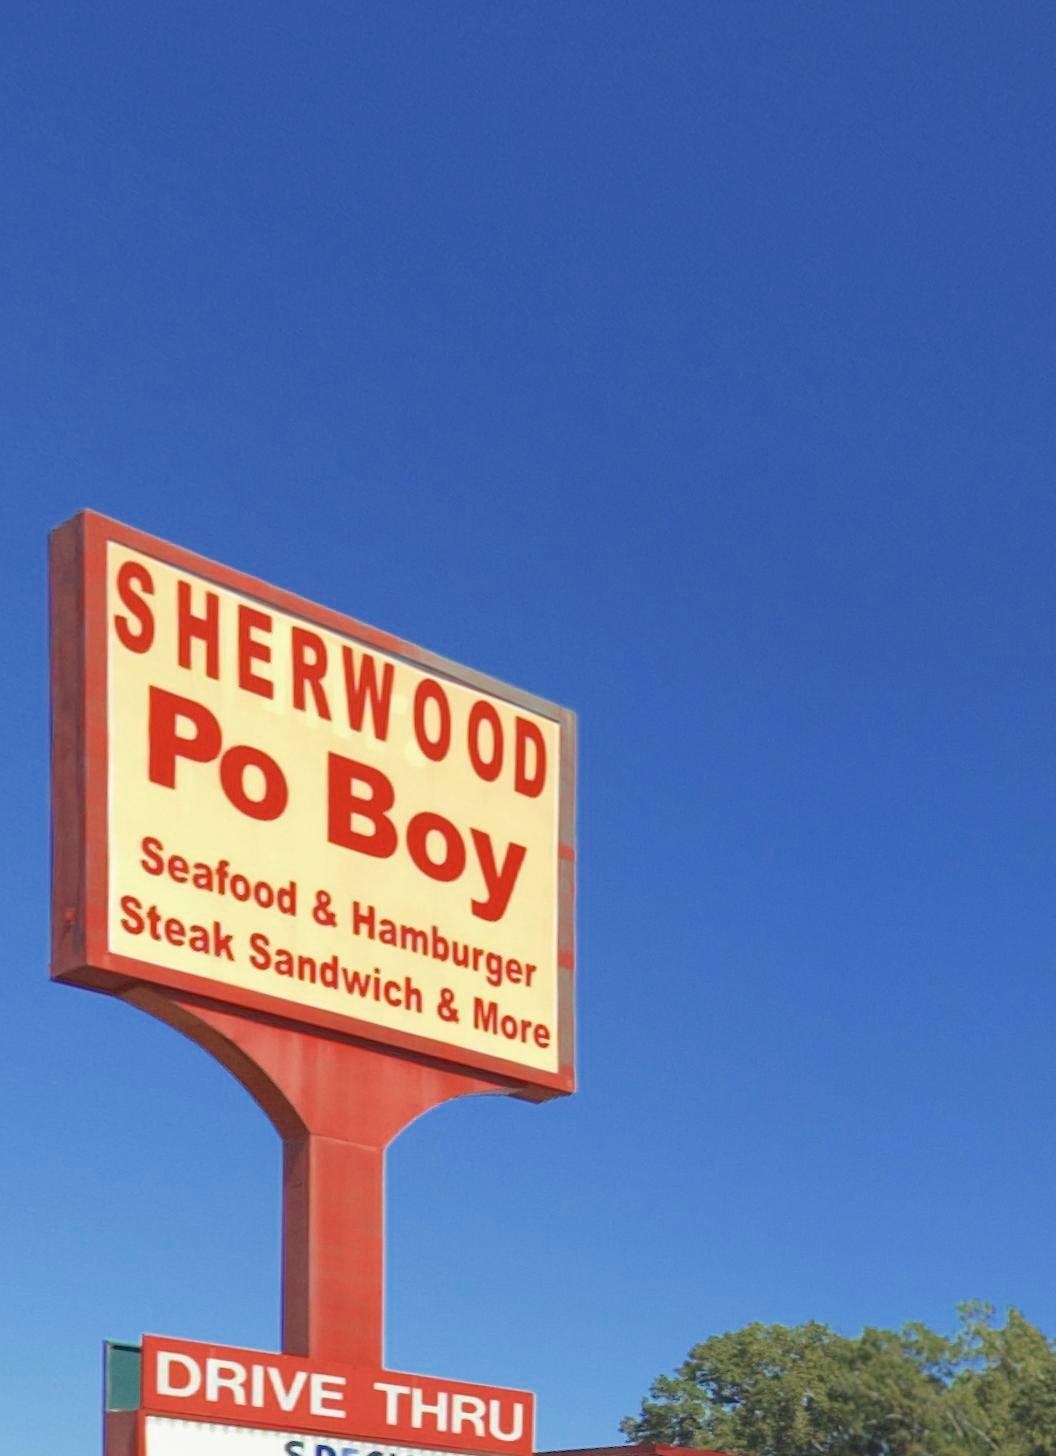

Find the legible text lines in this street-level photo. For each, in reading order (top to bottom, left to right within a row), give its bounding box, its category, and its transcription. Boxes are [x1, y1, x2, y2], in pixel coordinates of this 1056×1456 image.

[107, 544, 556, 807] None: Sherwood Po Boy
[141, 676, 535, 931] BusinessName: Po Boy\
[114, 884, 557, 1055] None: Steak Sandwich & More
[134, 826, 539, 994] None: Seafood & Hamburger
[151, 1342, 530, 1448] None: DRIVE THRU